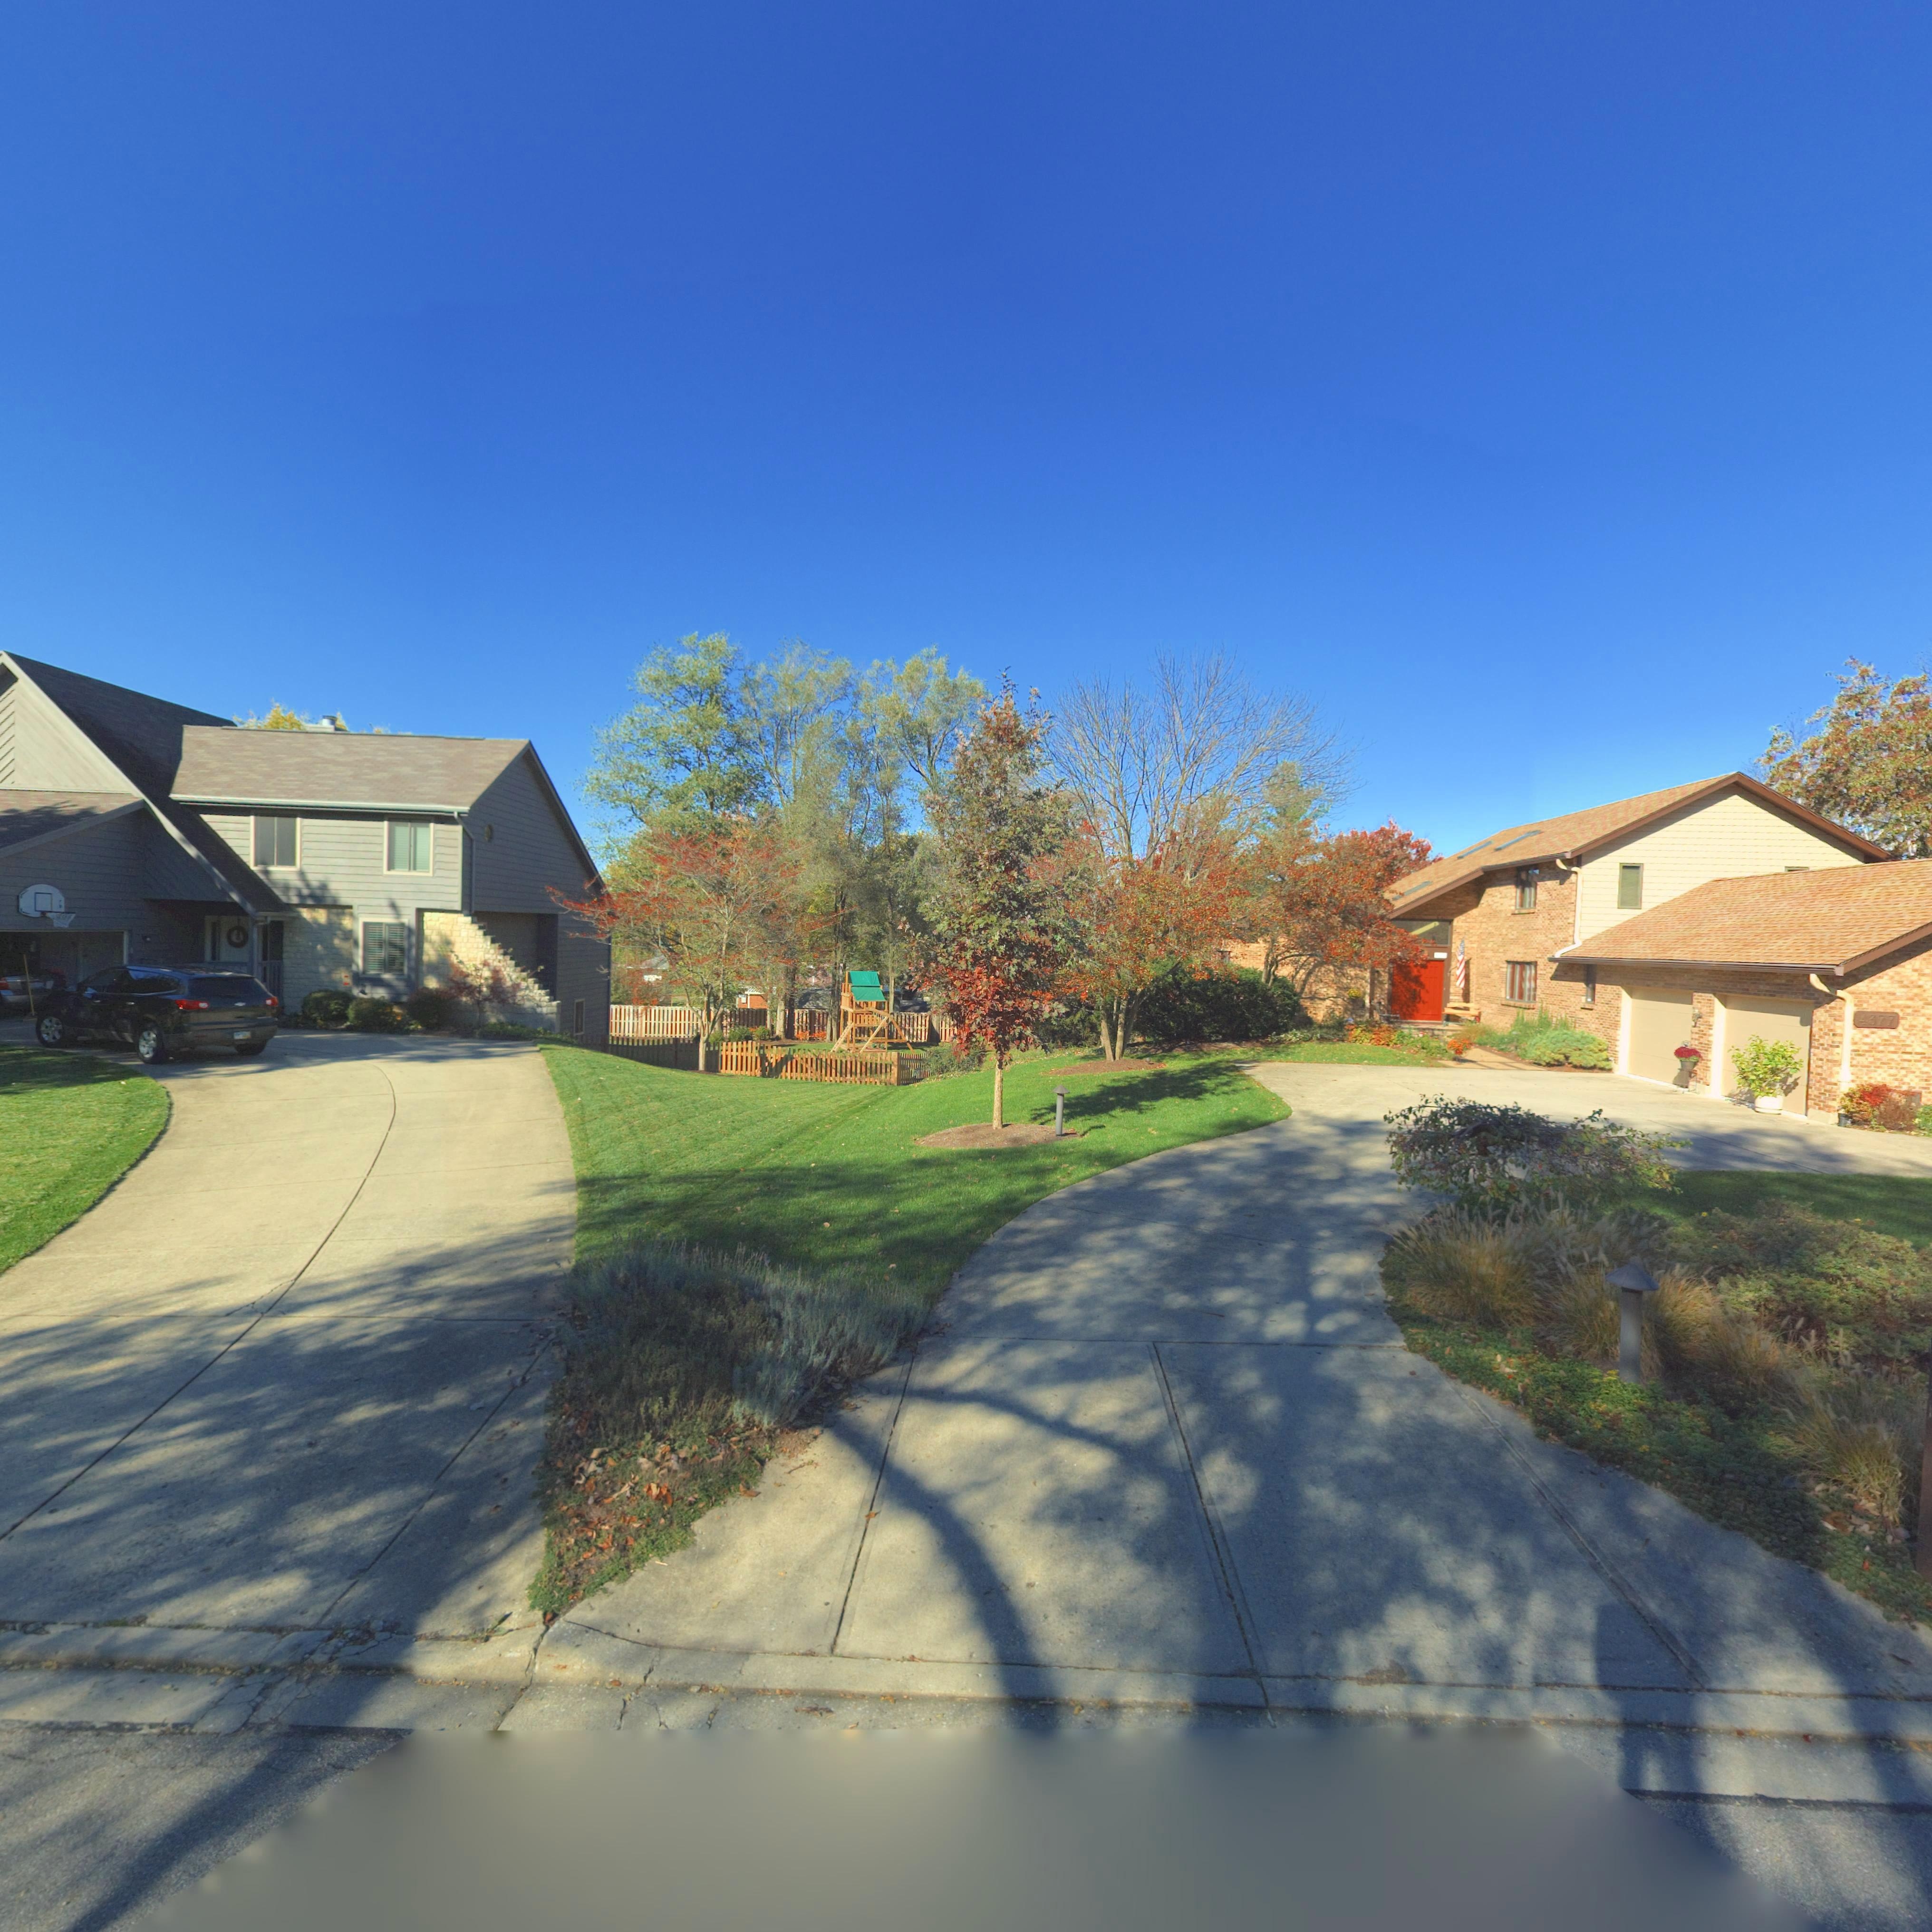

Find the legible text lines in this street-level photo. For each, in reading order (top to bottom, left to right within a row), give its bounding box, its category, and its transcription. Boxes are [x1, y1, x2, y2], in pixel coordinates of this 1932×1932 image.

[1859, 1012, 1898, 1027] StreetNumber: 4377